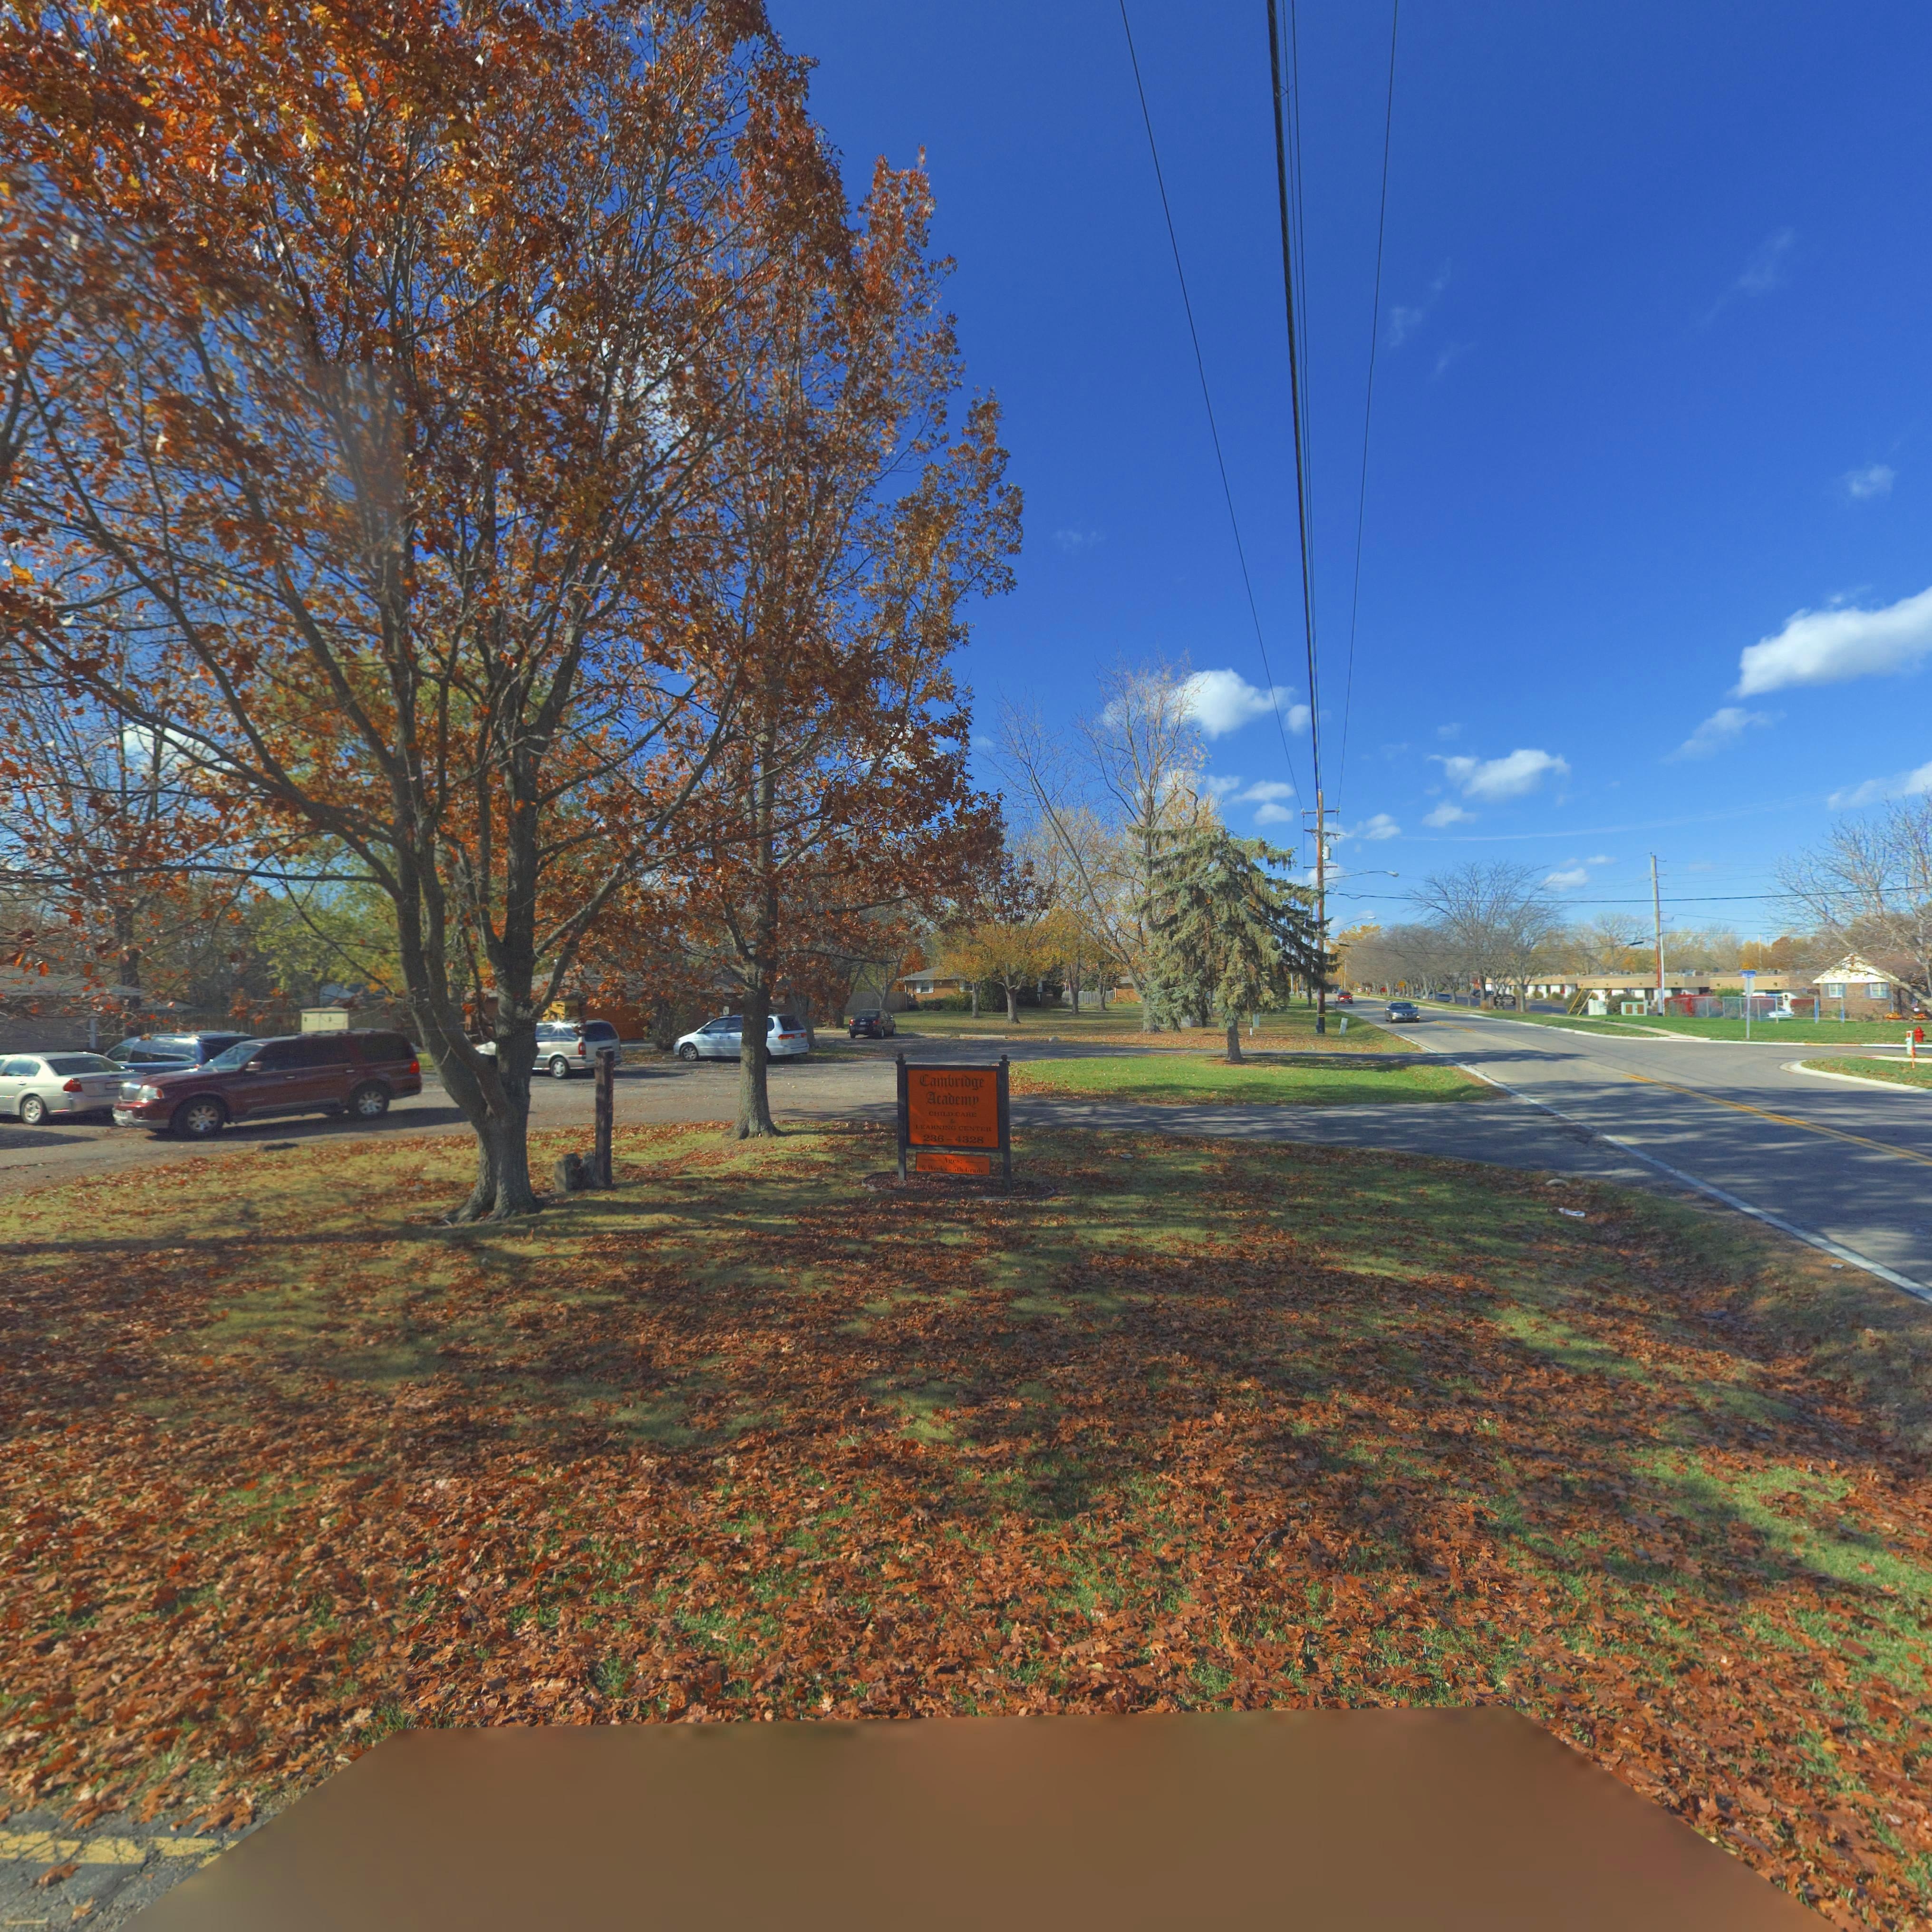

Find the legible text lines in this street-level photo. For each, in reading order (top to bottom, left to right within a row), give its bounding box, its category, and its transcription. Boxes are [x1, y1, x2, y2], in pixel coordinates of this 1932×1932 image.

[607, 1059, 616, 1115] StreetNumber: 7172